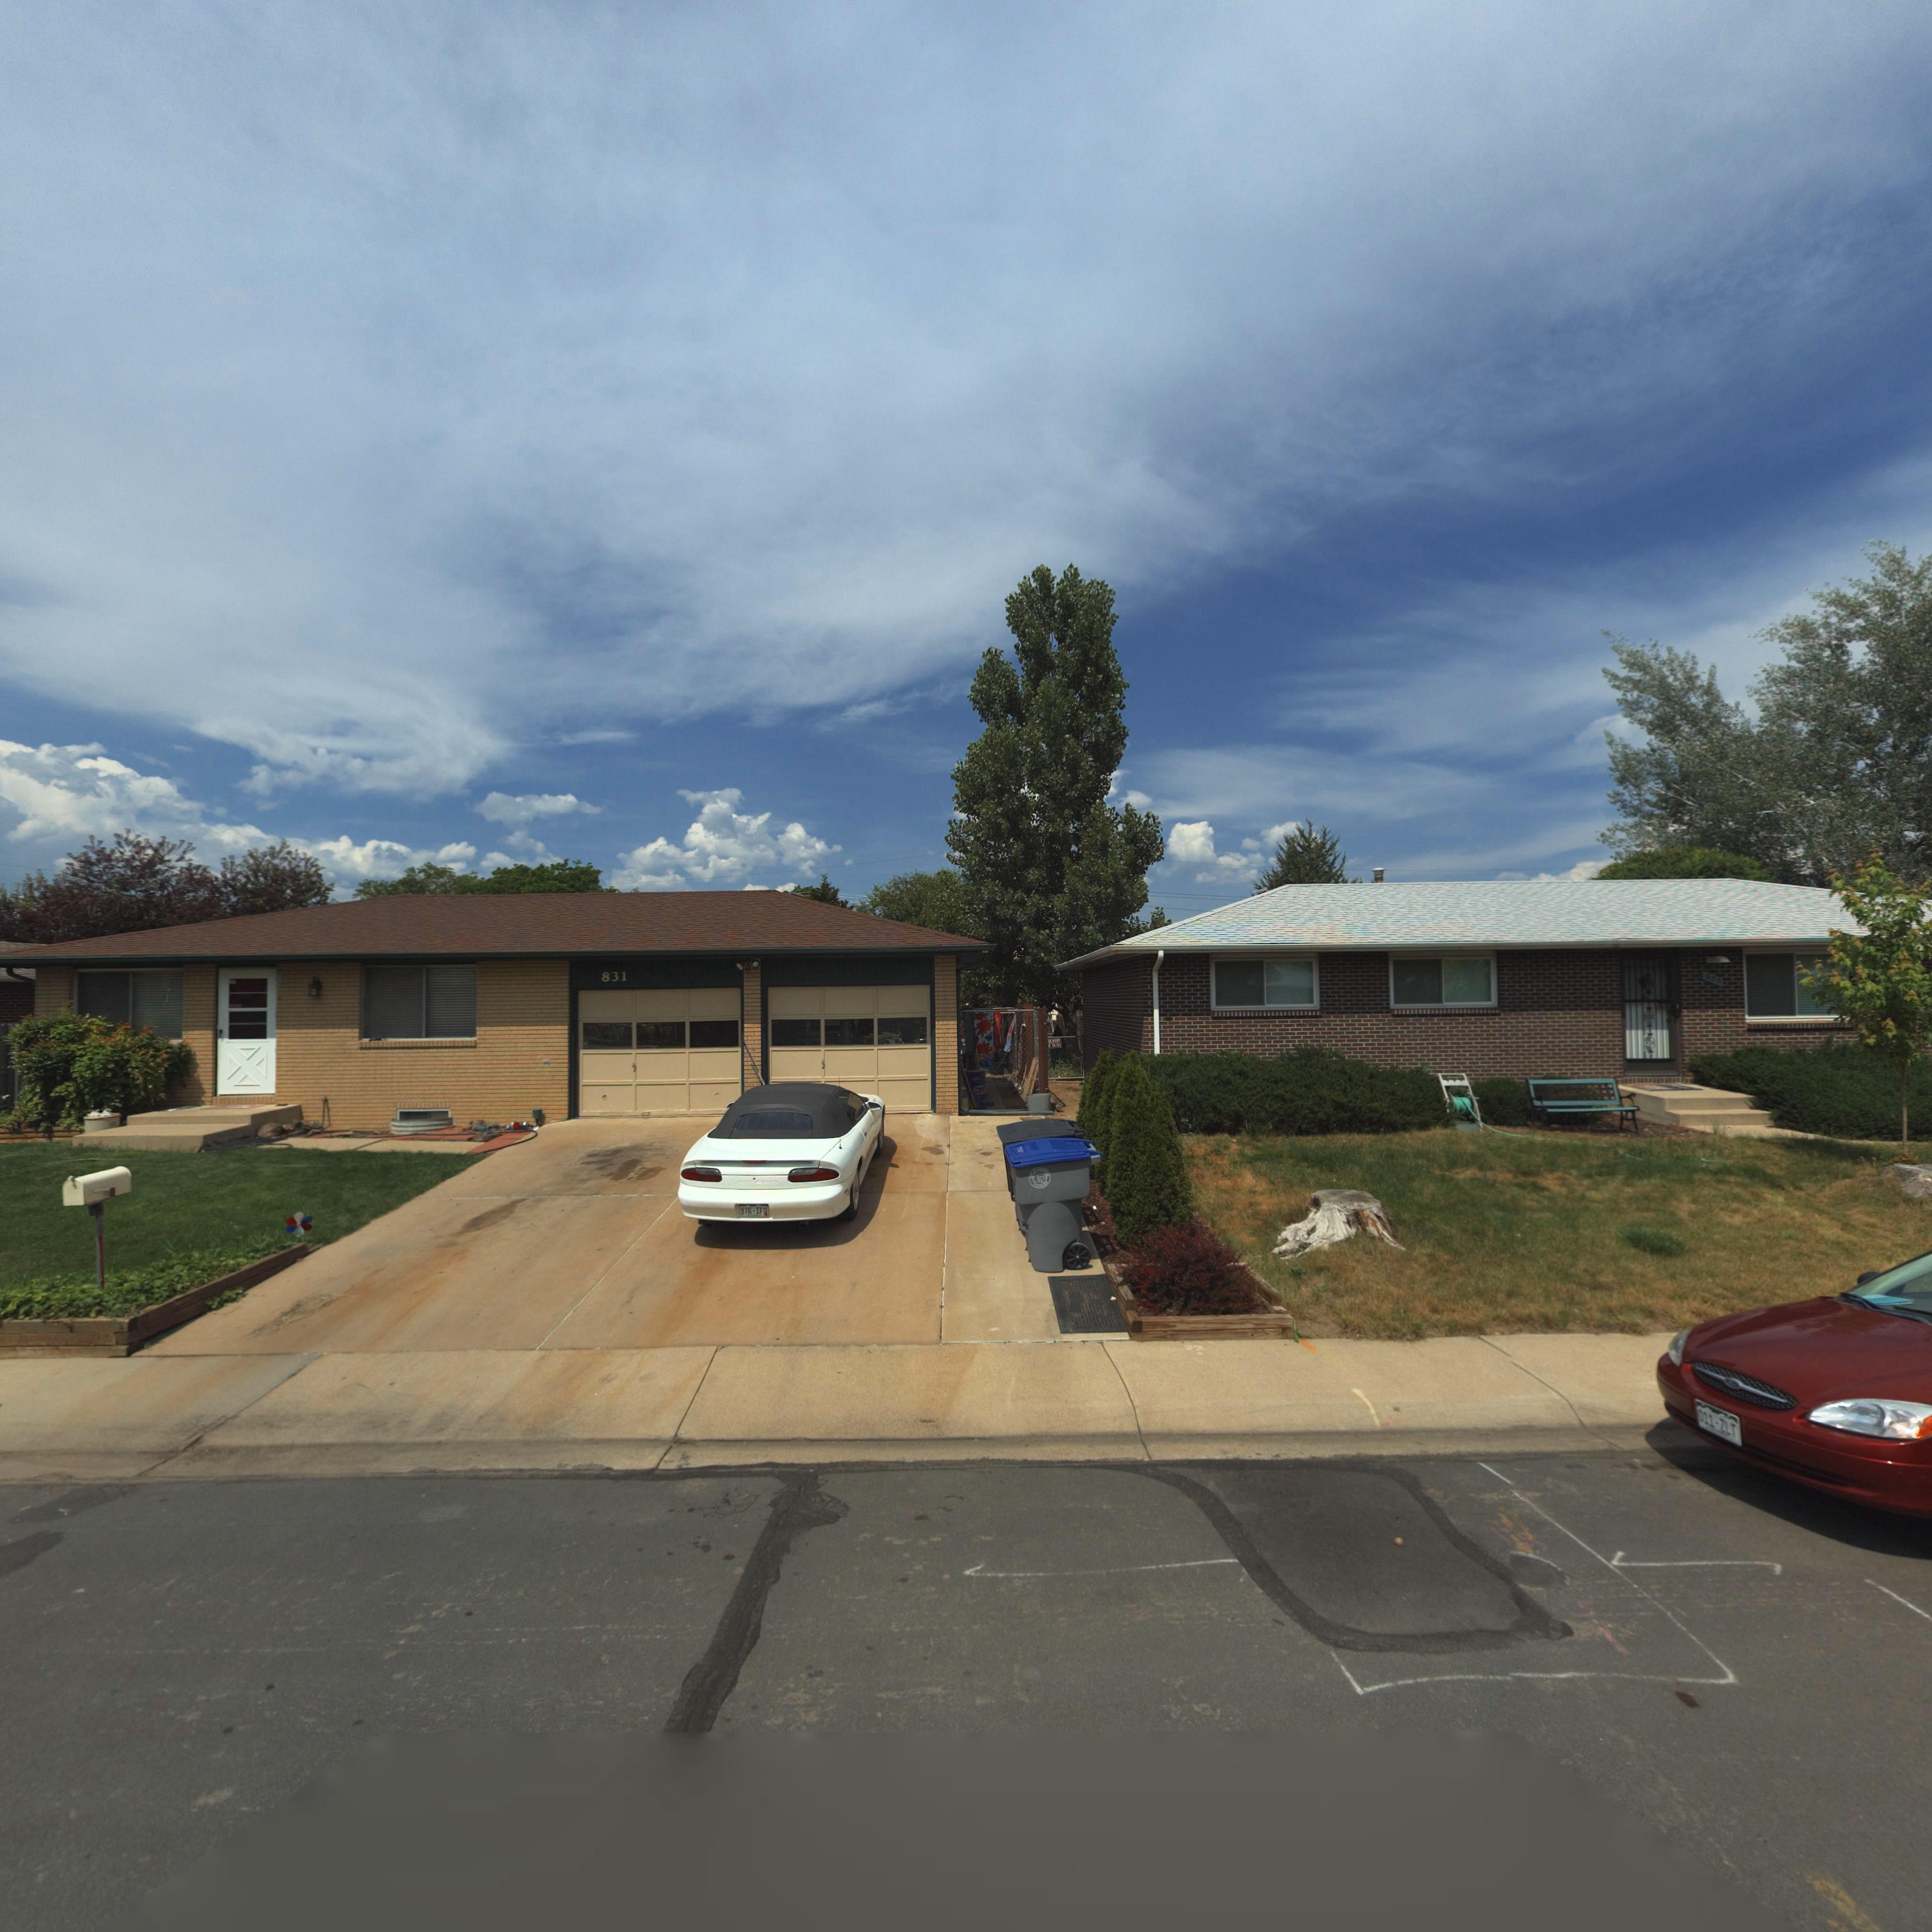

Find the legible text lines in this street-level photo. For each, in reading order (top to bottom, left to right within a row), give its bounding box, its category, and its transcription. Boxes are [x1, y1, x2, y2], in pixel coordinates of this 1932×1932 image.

[601, 971, 628, 982] StreetNumber: 831
[1704, 972, 1722, 985] StreetNumber: 8**